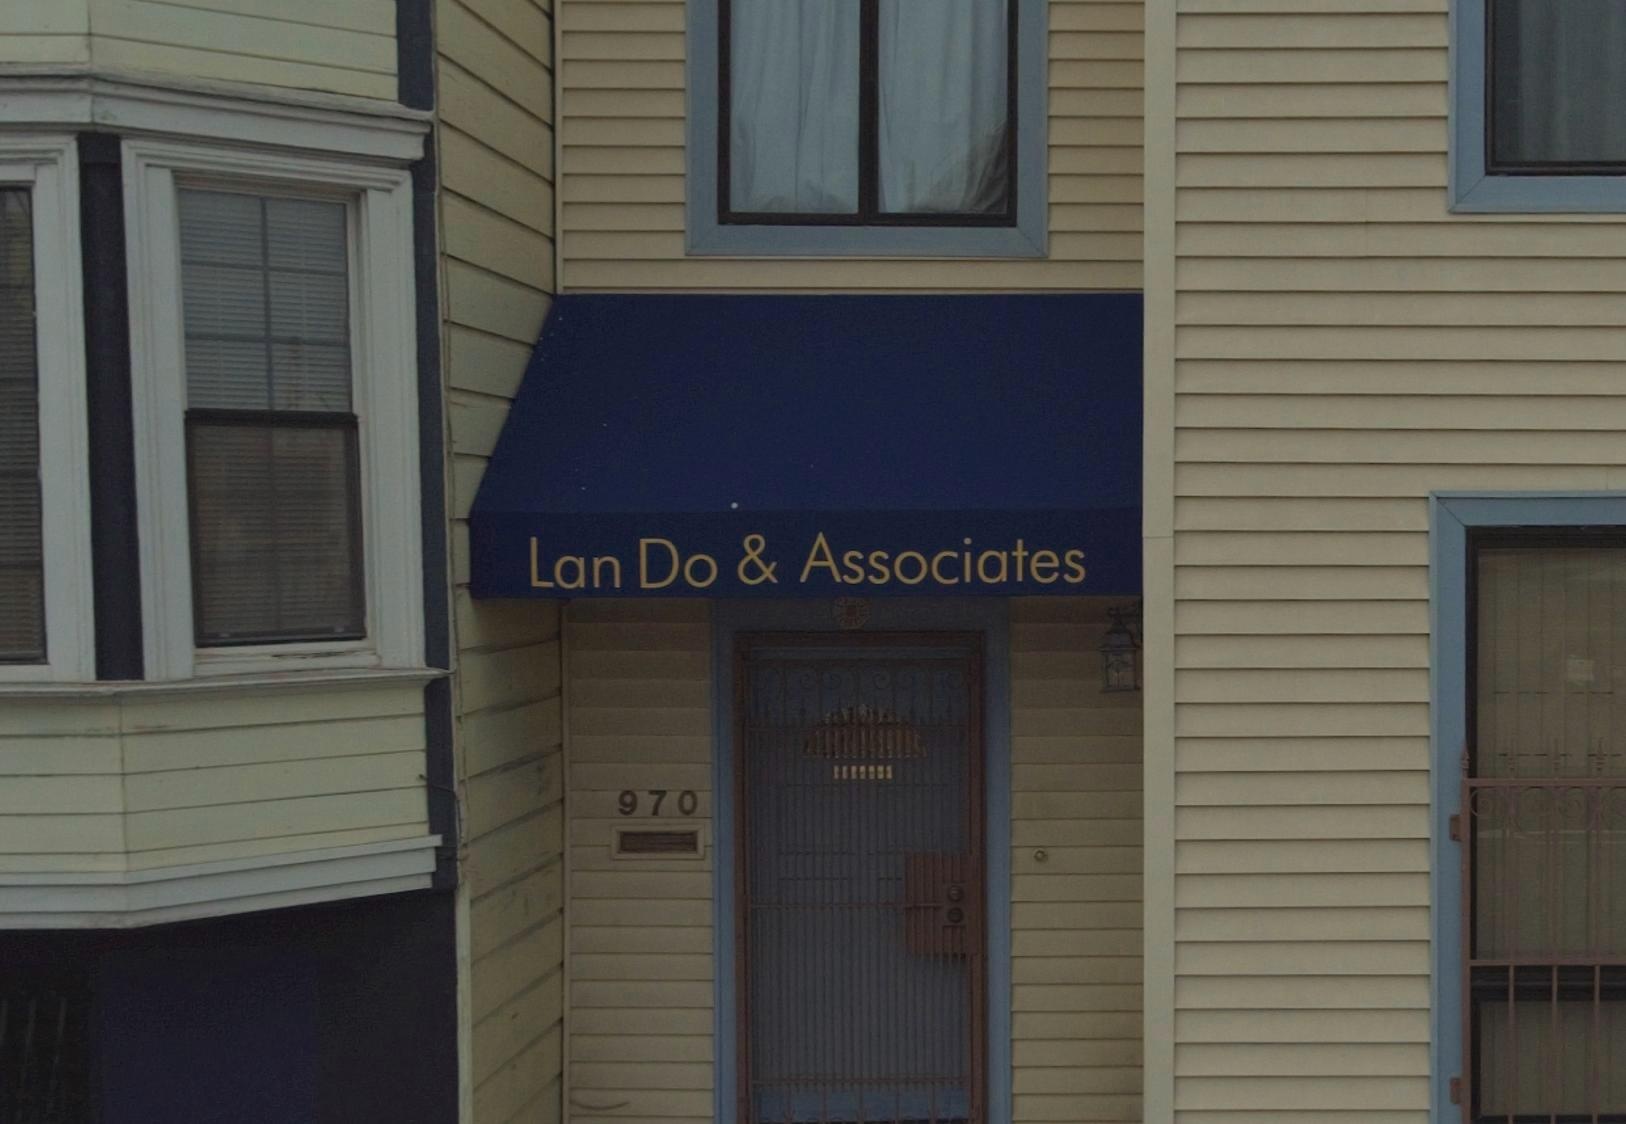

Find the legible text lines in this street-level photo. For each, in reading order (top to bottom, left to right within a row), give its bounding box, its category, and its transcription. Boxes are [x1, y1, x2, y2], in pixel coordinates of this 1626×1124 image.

[527, 526, 1089, 595] BusinessName: Lan Do & Associates
[614, 786, 701, 819] StreetNumber: 970